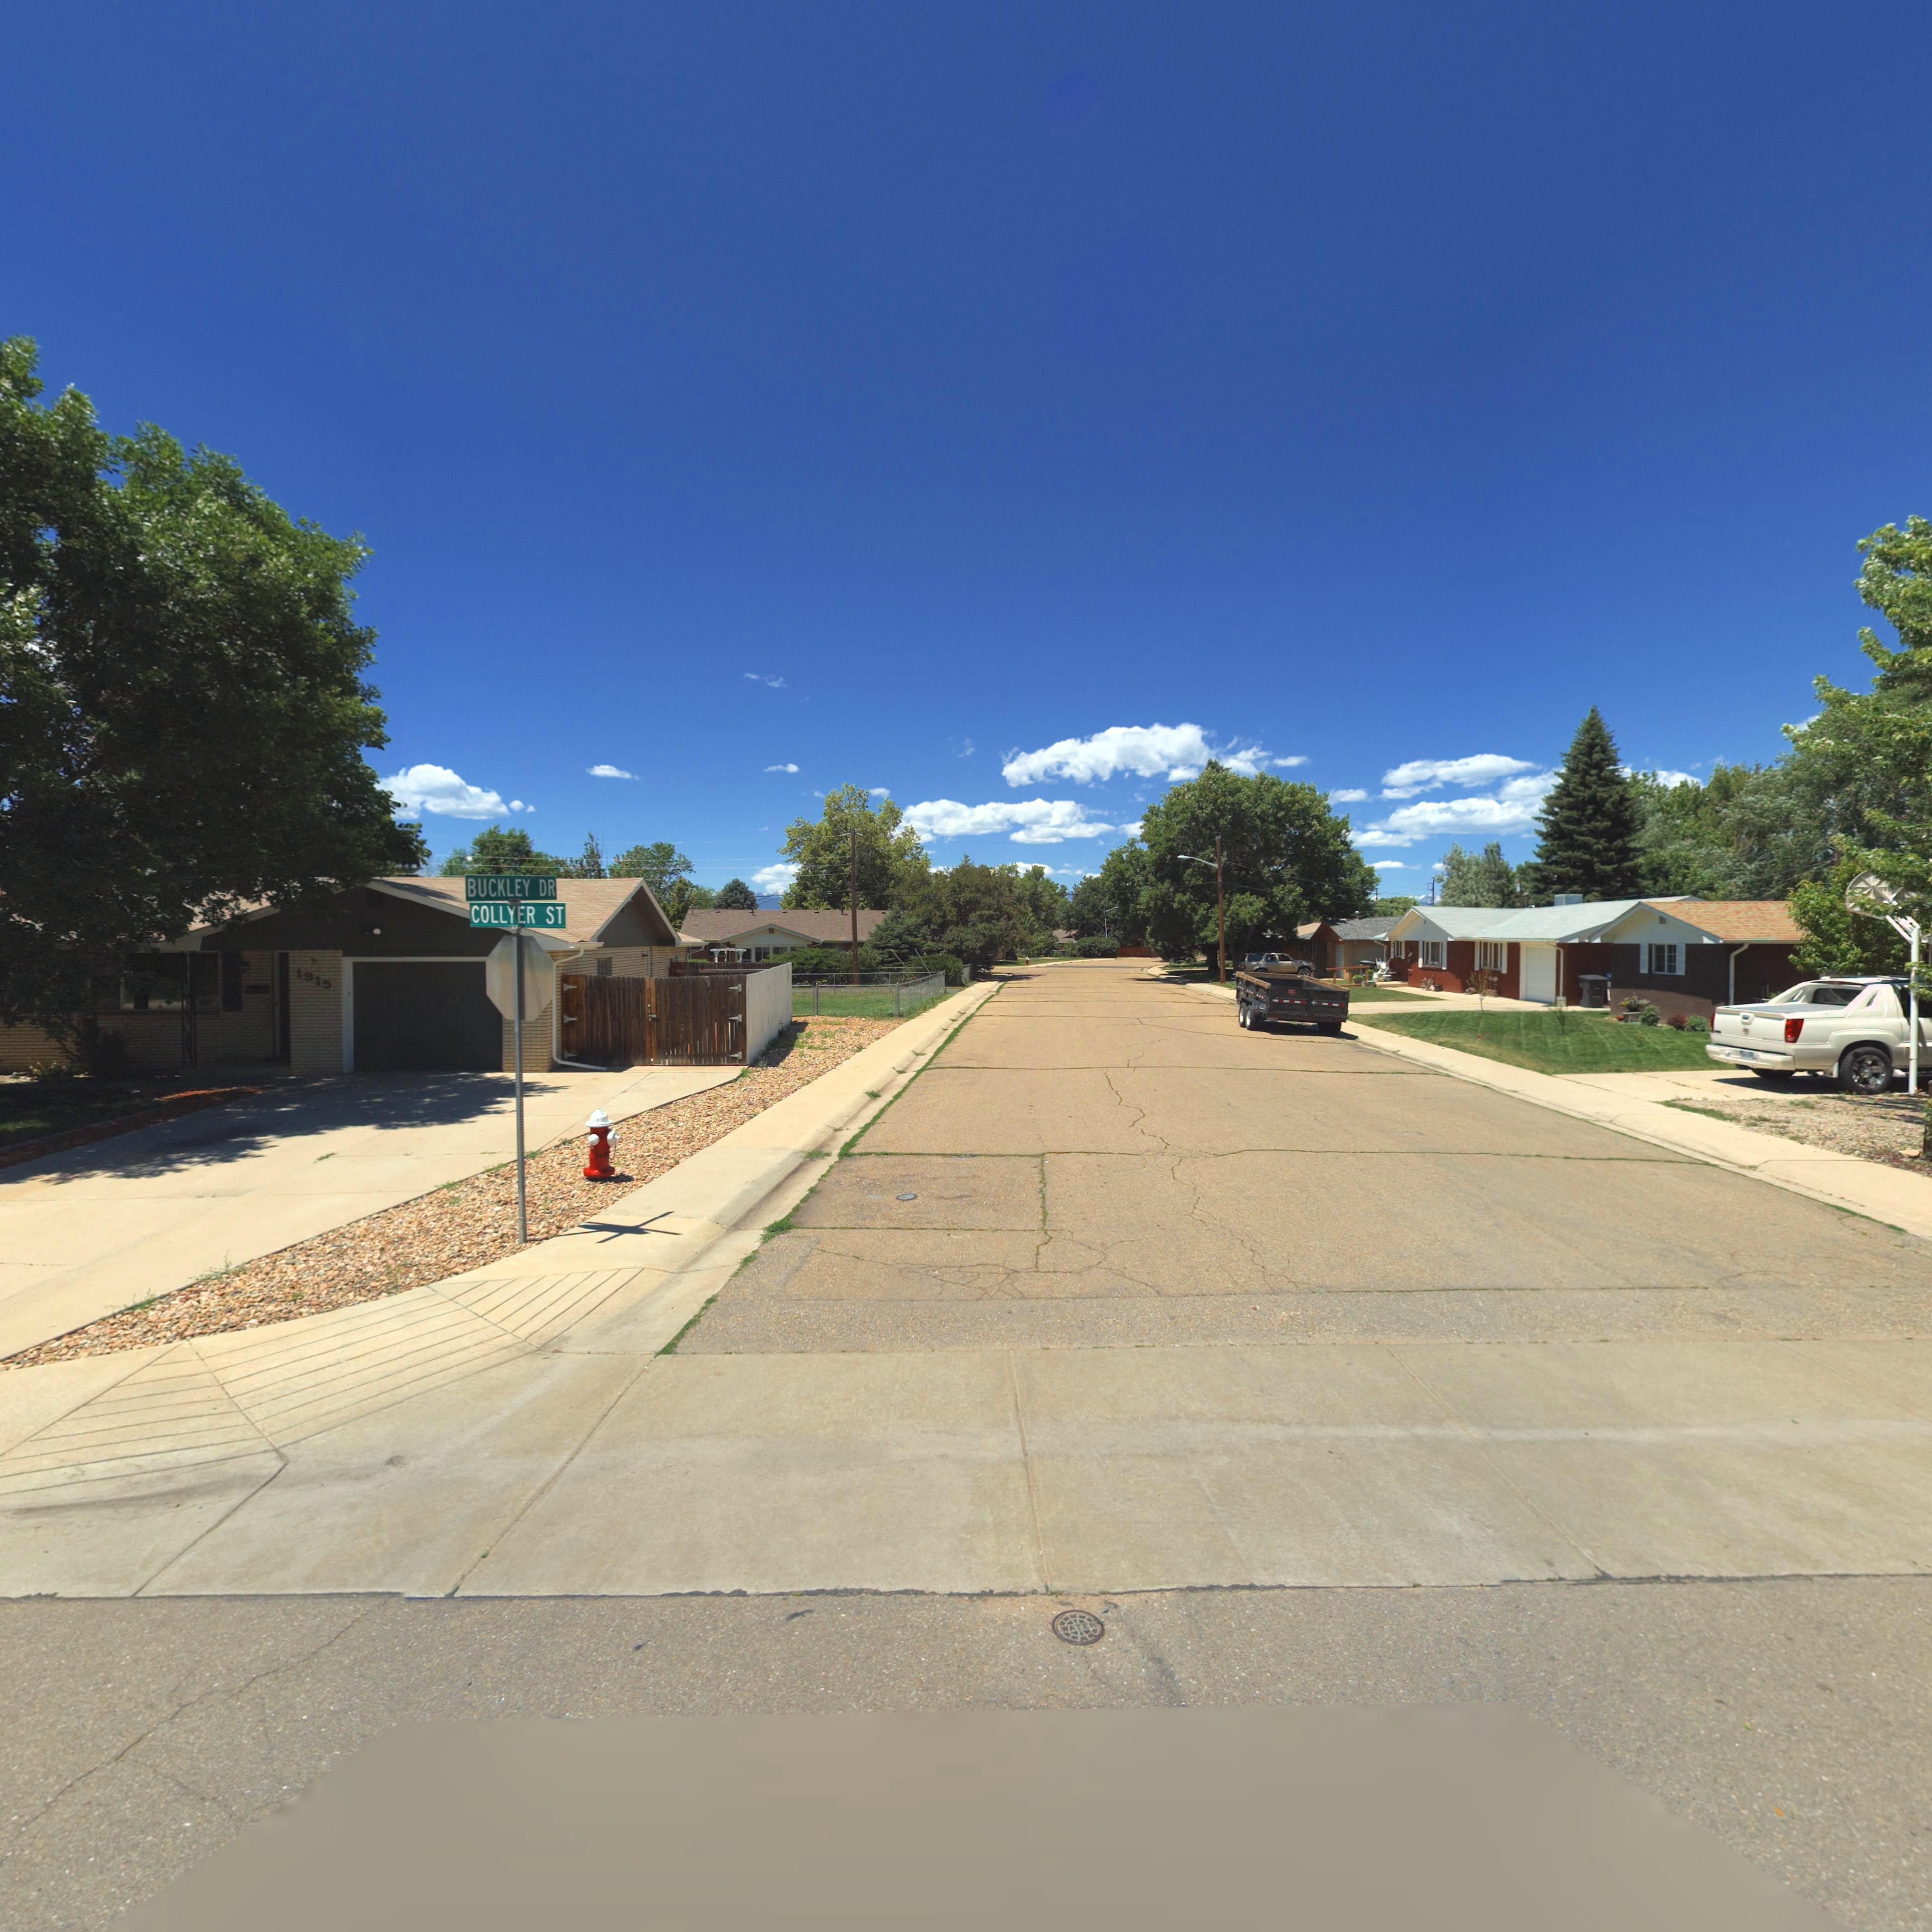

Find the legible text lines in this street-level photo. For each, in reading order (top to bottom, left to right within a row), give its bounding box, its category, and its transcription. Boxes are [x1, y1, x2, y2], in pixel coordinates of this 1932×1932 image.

[467, 878, 556, 898] StreetName: BUCKLEY DR
[470, 904, 564, 925] StreetName: COLLYER ST
[296, 968, 332, 989] StreetNumber: 1915